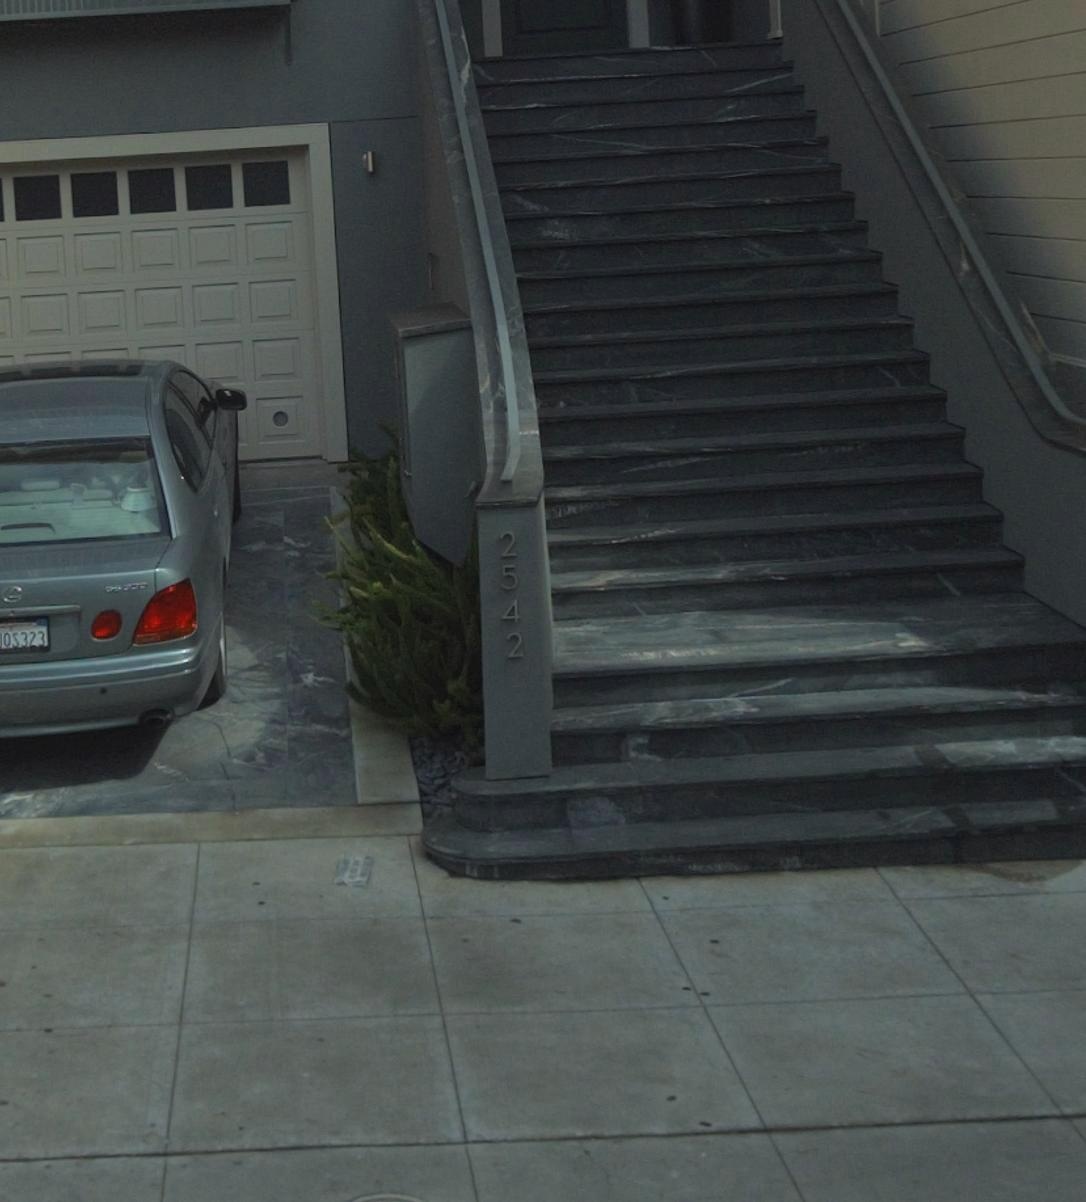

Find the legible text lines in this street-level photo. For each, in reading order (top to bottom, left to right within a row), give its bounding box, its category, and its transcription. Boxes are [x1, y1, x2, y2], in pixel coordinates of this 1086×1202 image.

[2, 628, 48, 649] None: OS323
[494, 523, 530, 664] StreetNumber: 2542